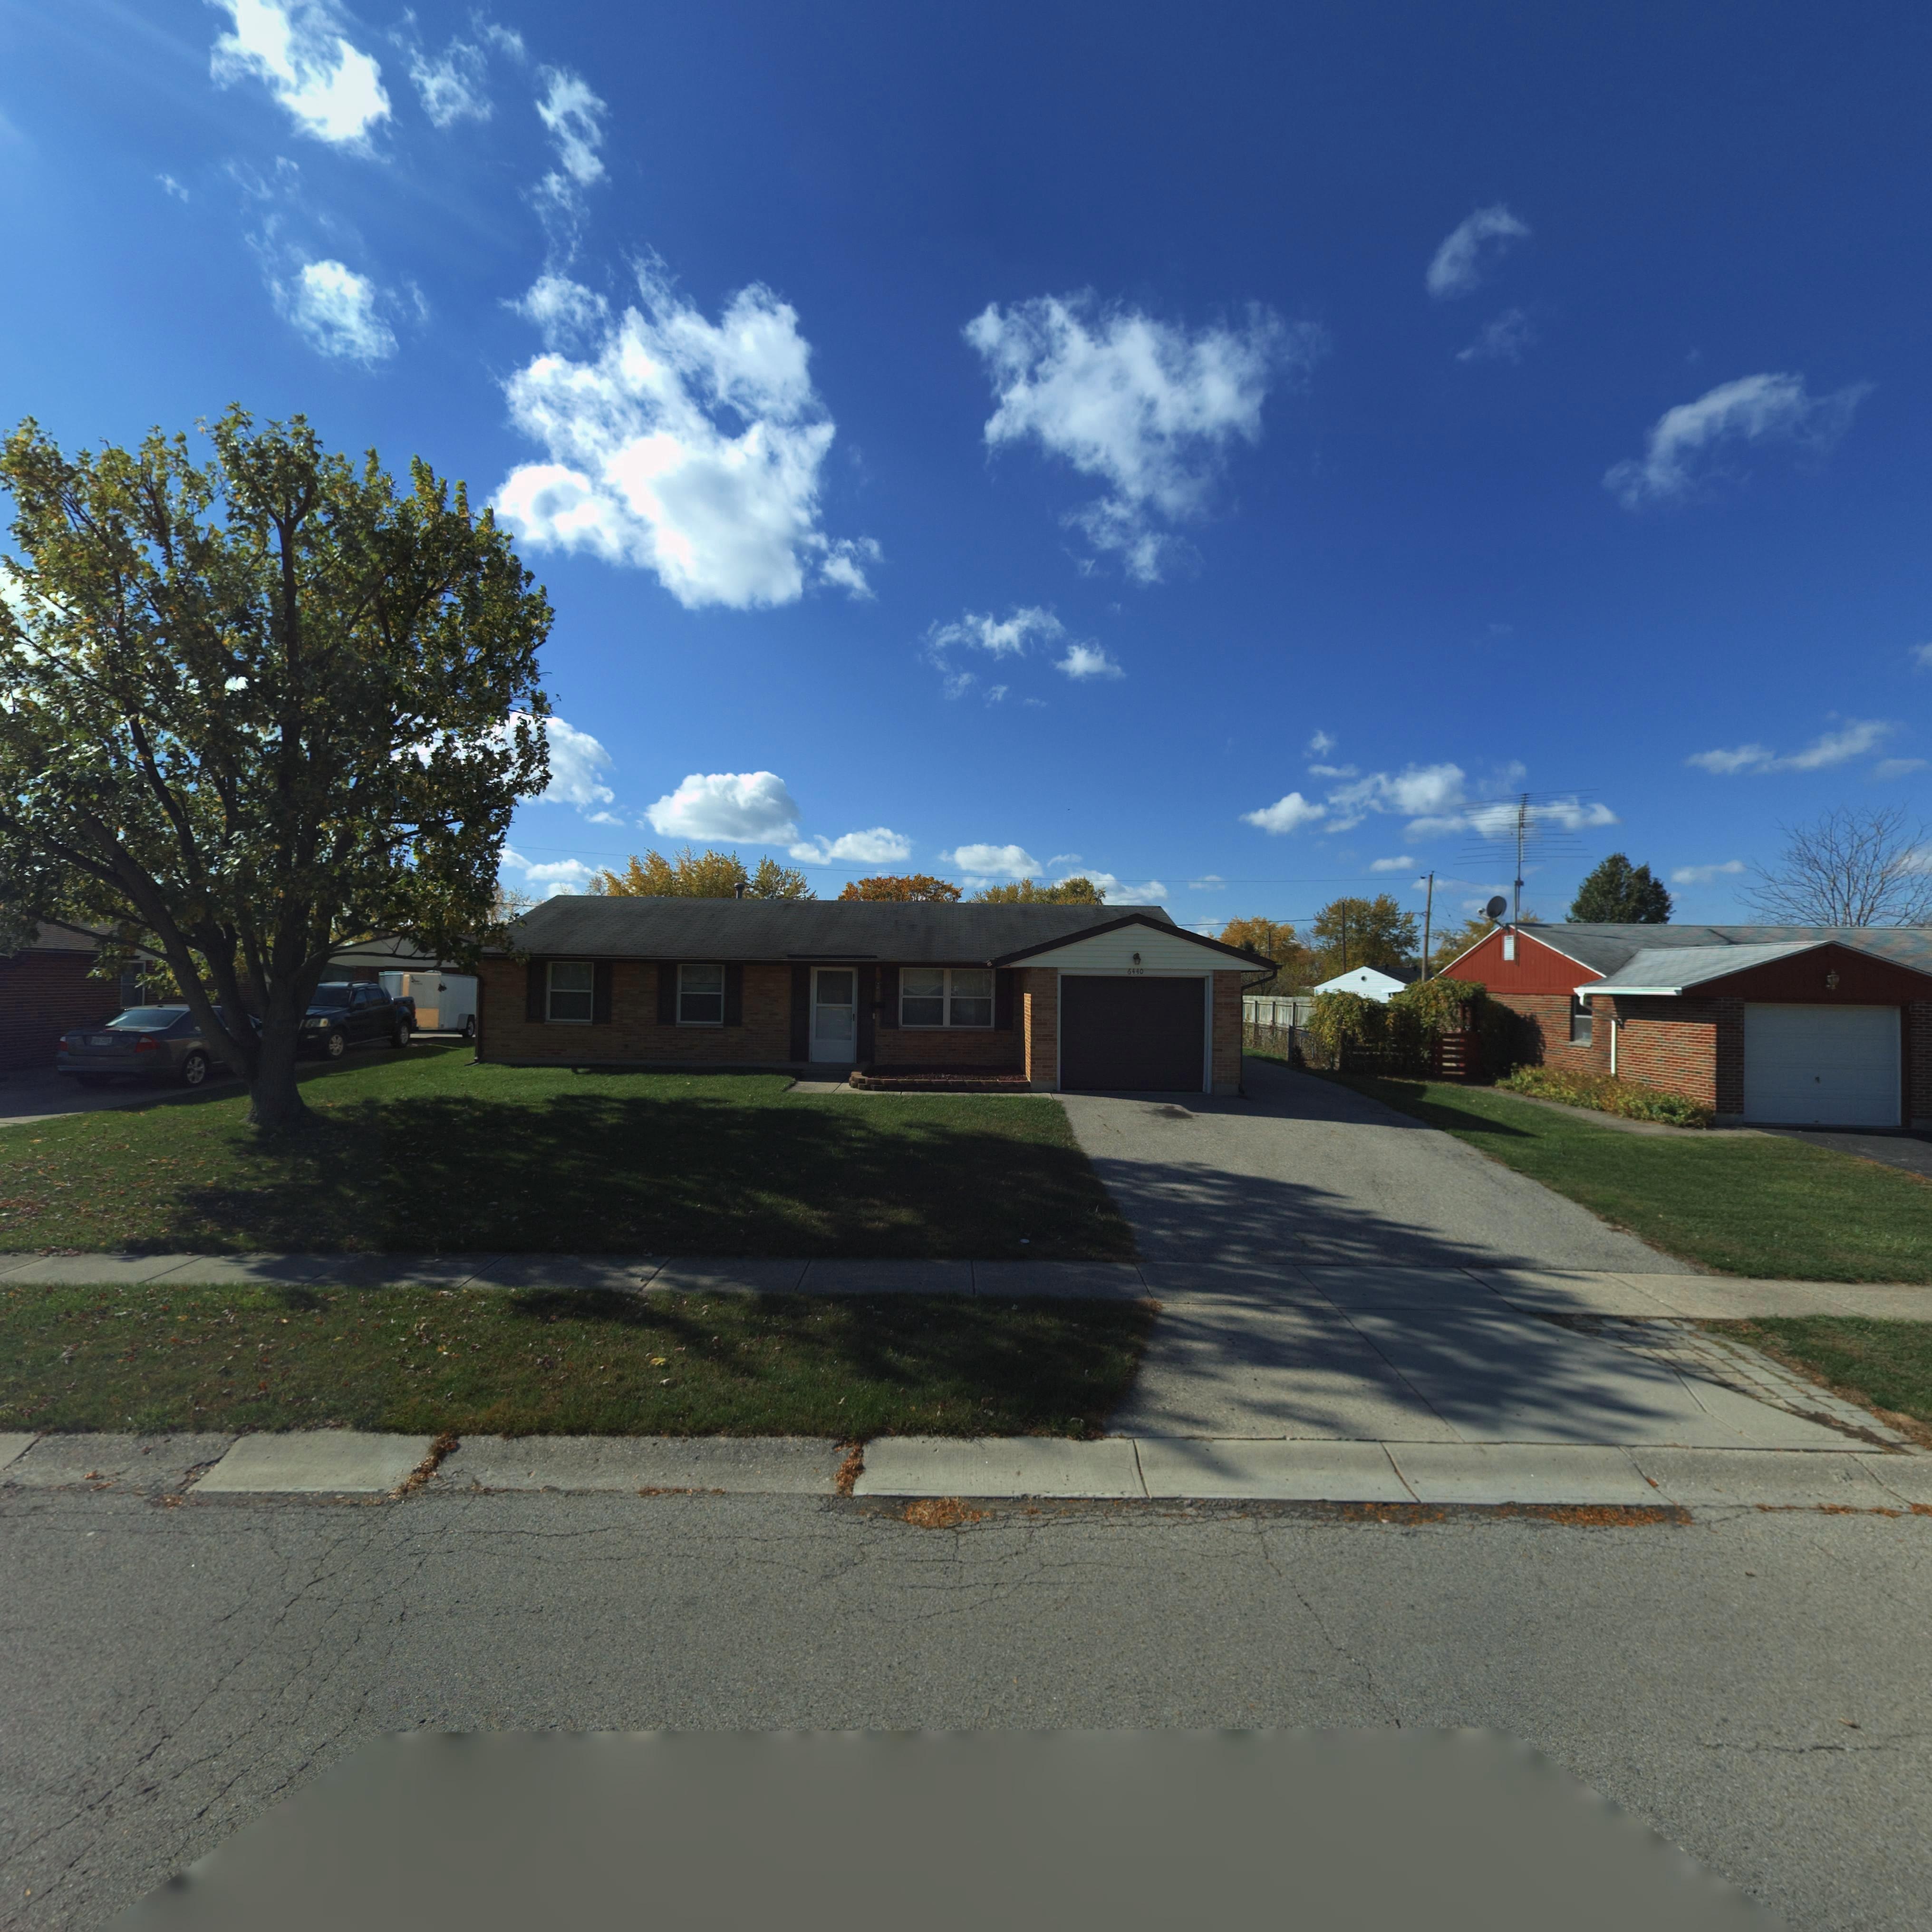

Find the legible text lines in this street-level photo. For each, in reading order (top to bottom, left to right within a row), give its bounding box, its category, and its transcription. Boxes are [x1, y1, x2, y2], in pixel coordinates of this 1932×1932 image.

[1126, 967, 1144, 975] StreetNumber: 6440